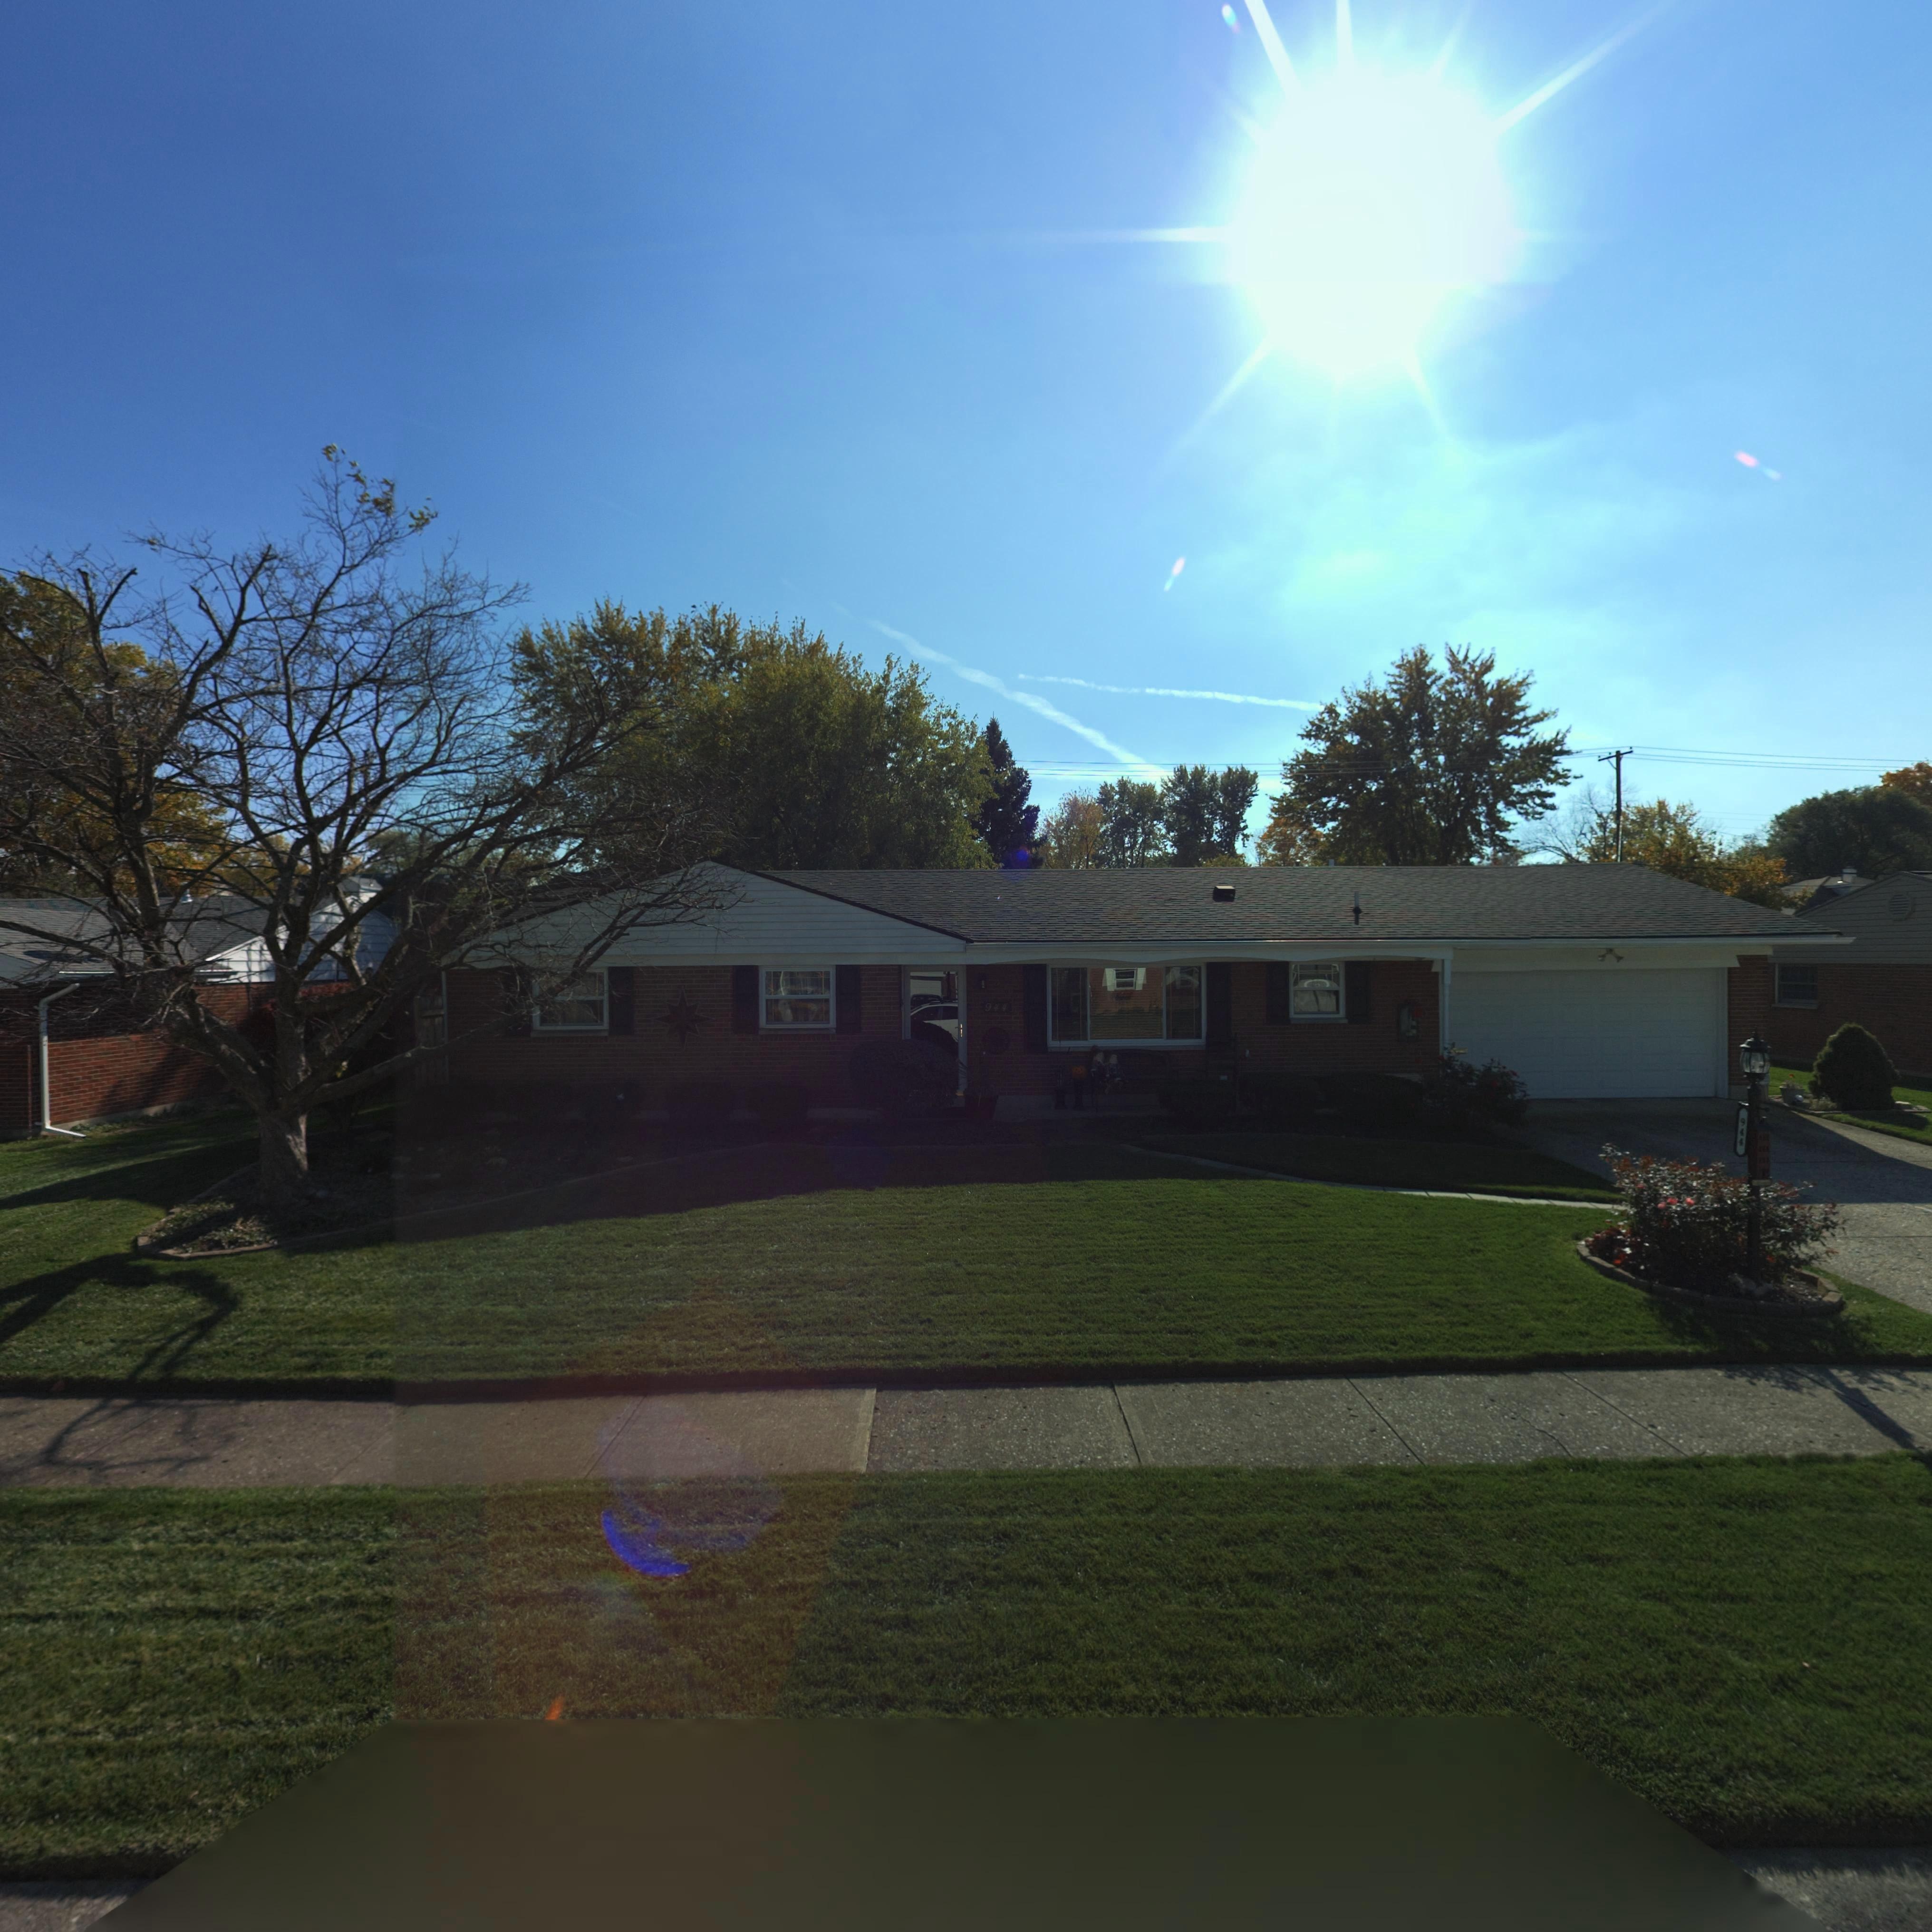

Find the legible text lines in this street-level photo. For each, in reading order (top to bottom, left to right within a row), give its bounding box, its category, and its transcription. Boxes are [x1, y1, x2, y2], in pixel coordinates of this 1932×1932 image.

[982, 1002, 1010, 1013] StreetNumber: 944
[1737, 1116, 1747, 1147] StreetNumber: 944